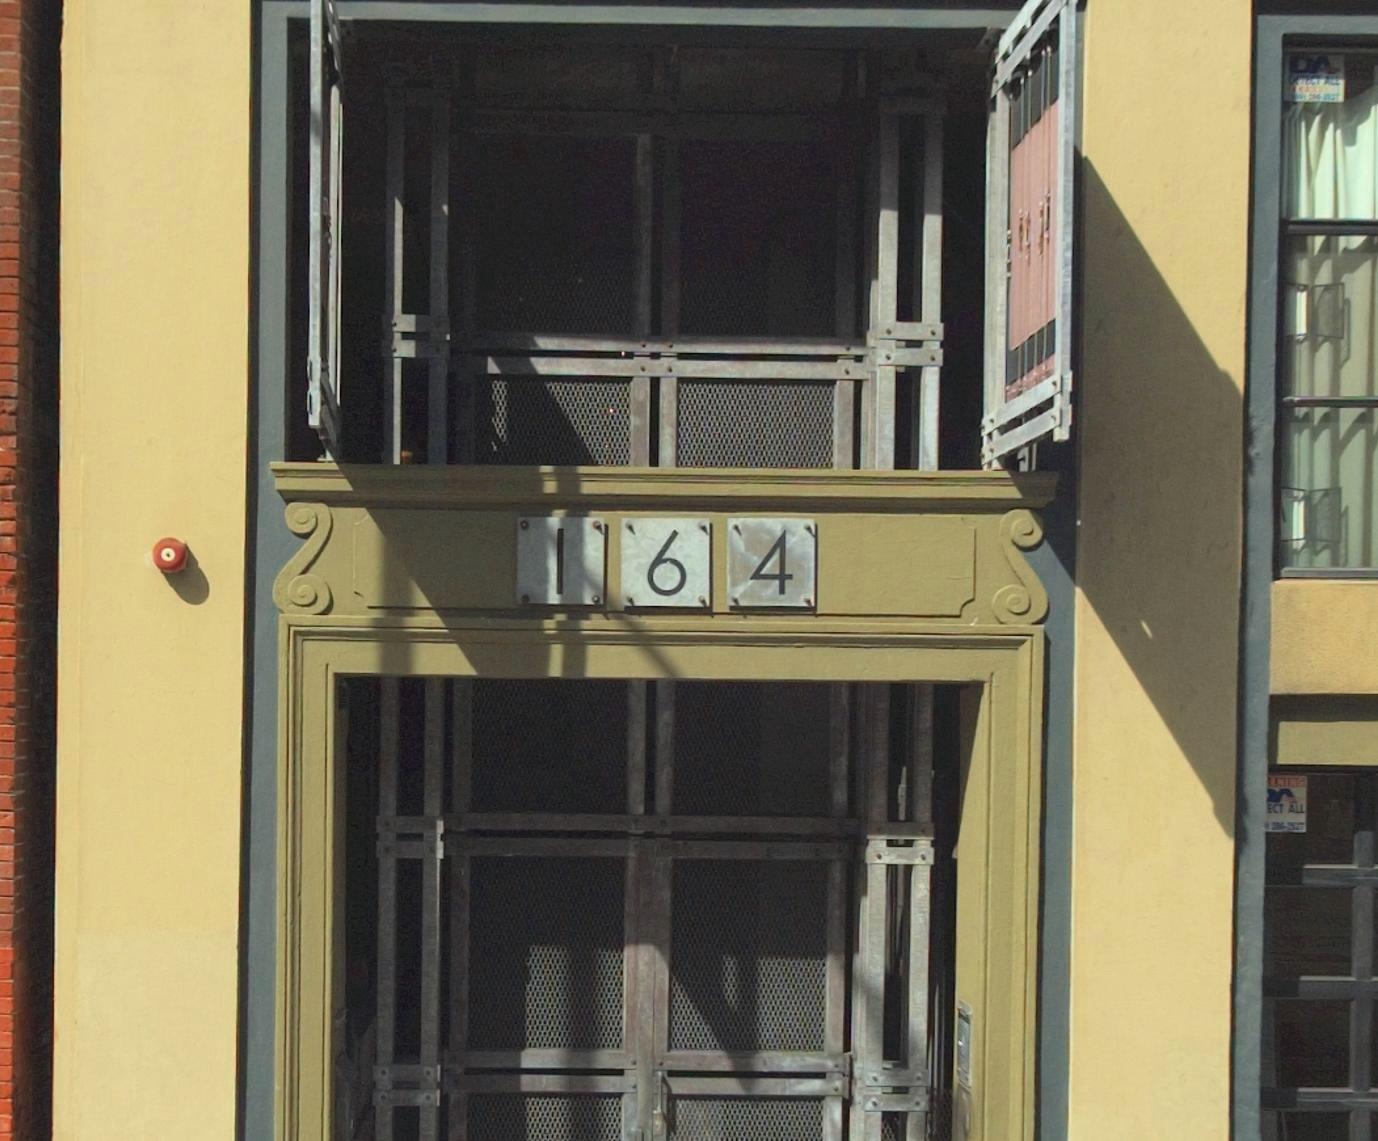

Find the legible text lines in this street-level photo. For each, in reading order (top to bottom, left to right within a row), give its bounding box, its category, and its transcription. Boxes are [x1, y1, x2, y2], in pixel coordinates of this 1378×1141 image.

[543, 520, 800, 601] StreetNumber: 164